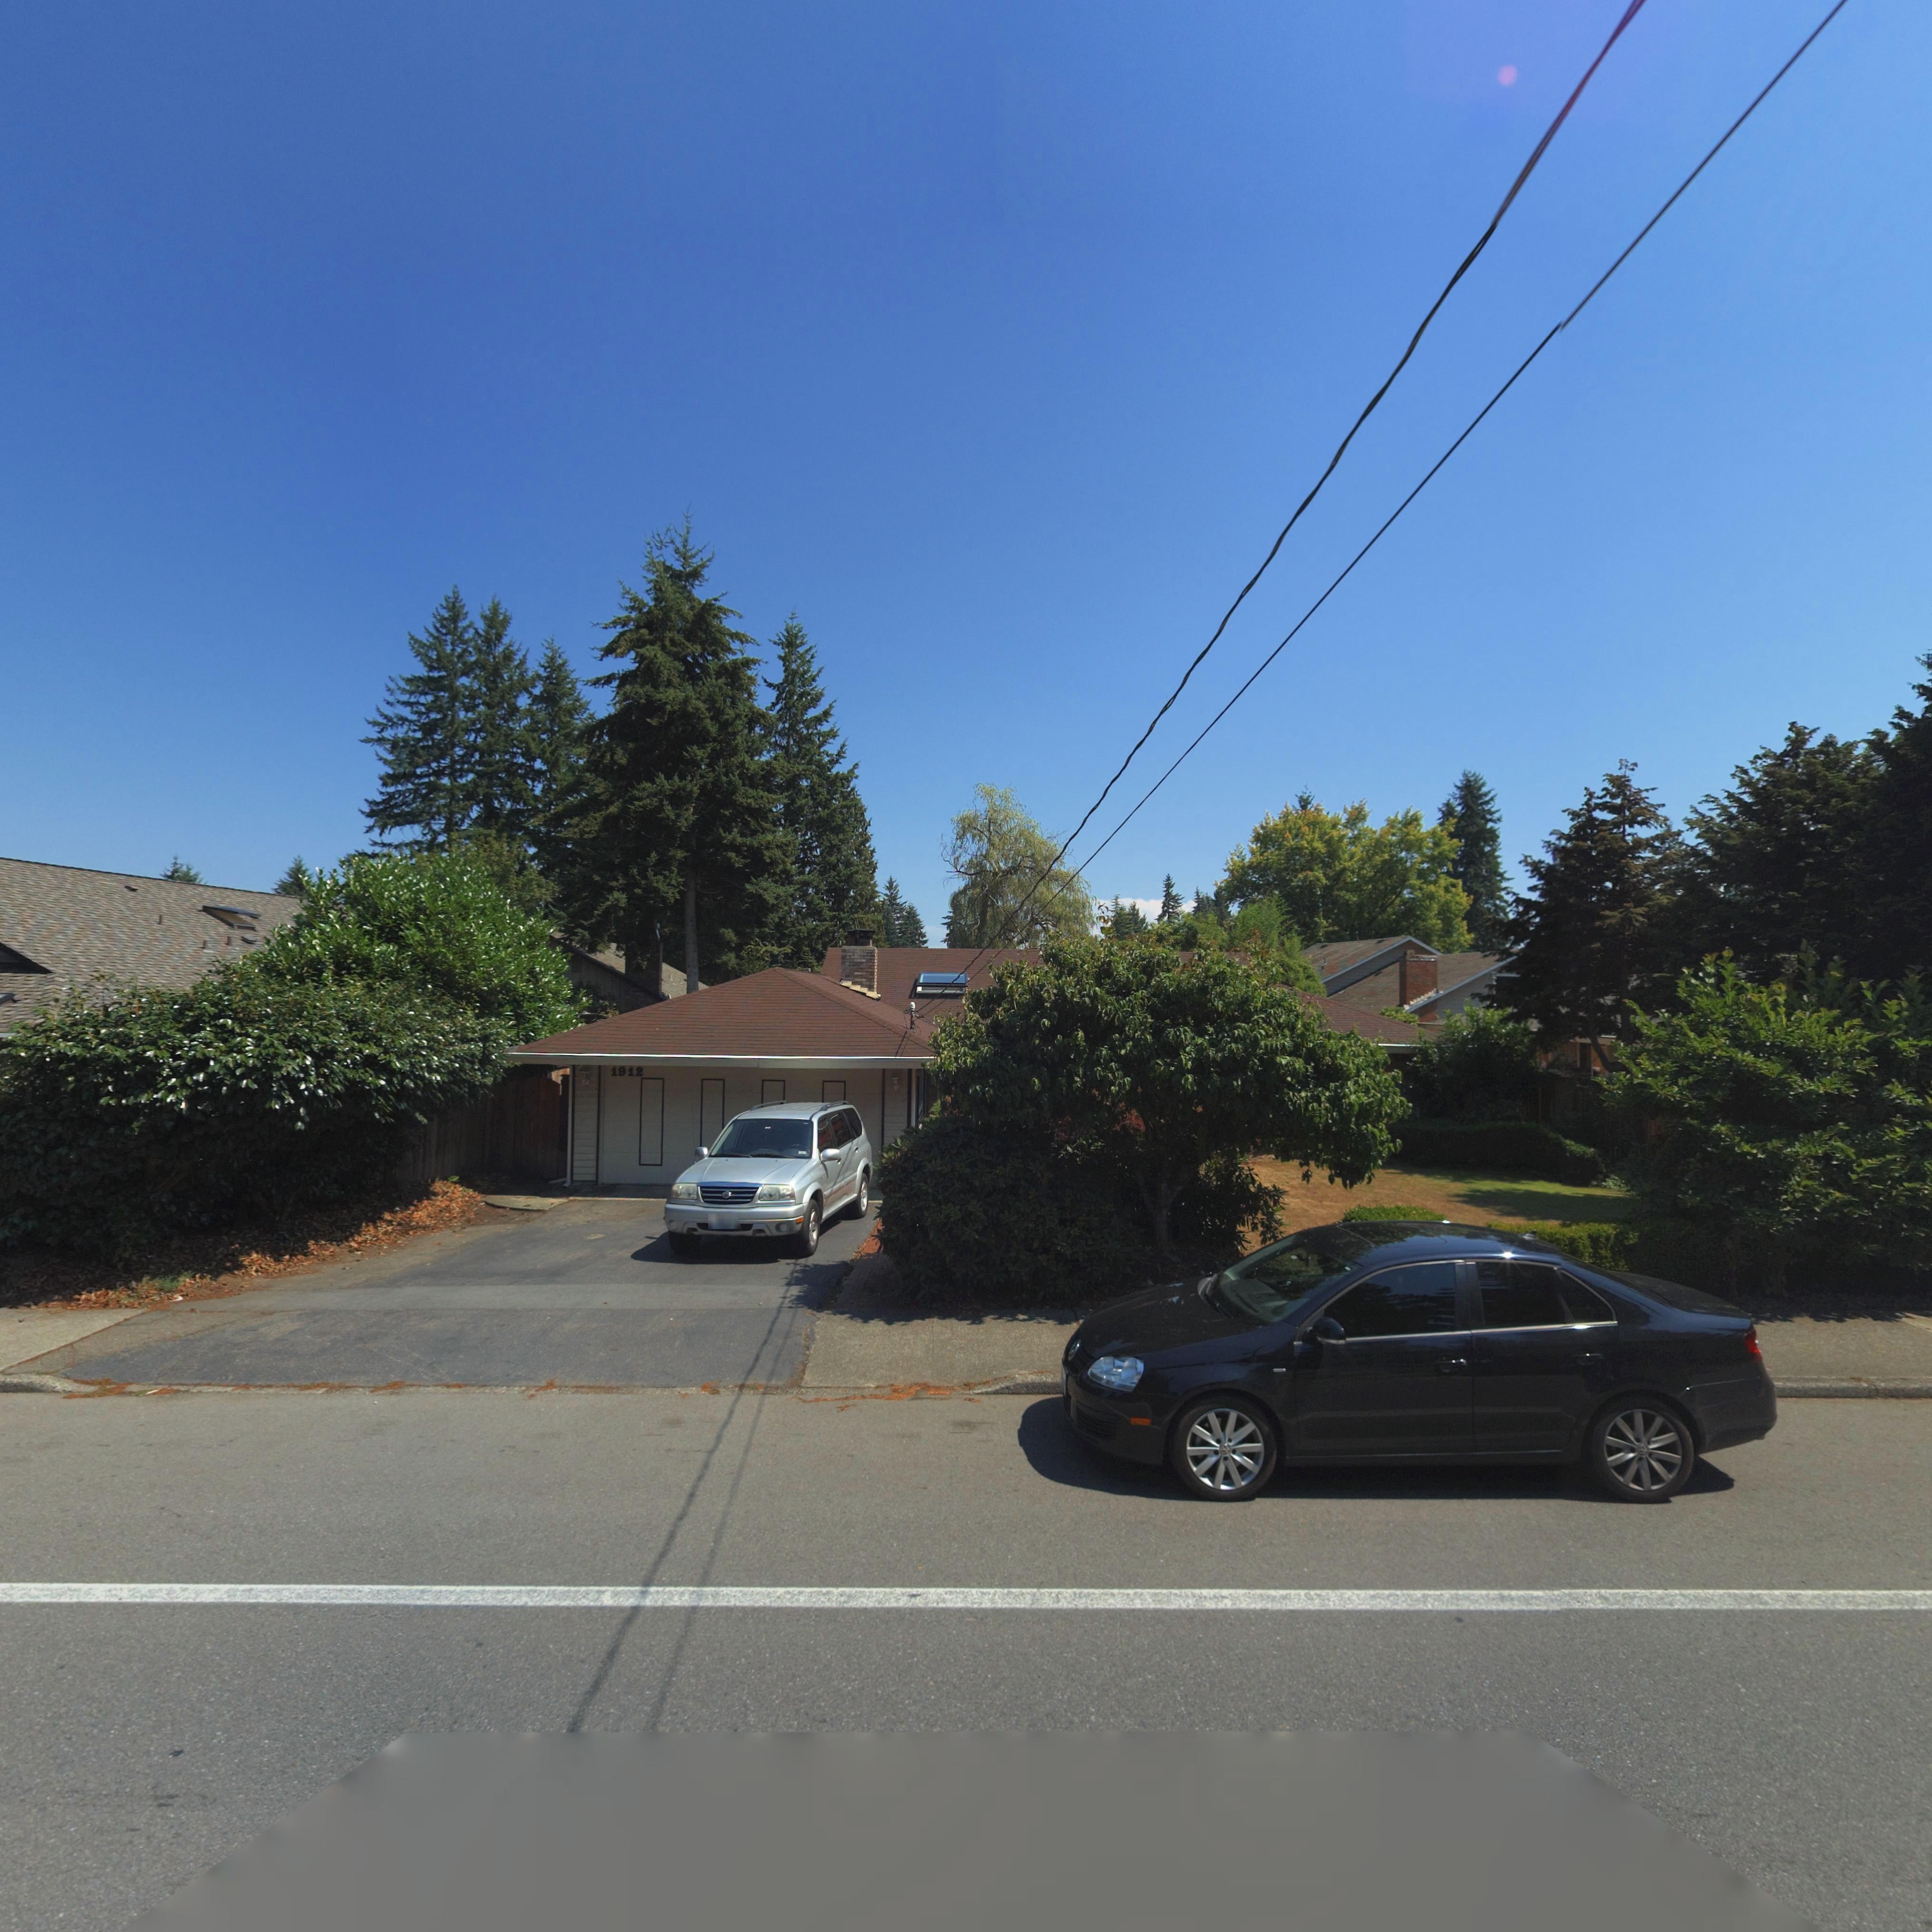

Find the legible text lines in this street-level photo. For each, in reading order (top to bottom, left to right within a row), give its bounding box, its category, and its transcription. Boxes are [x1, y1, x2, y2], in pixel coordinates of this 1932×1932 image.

[611, 1067, 643, 1076] StreetNumber: 1912